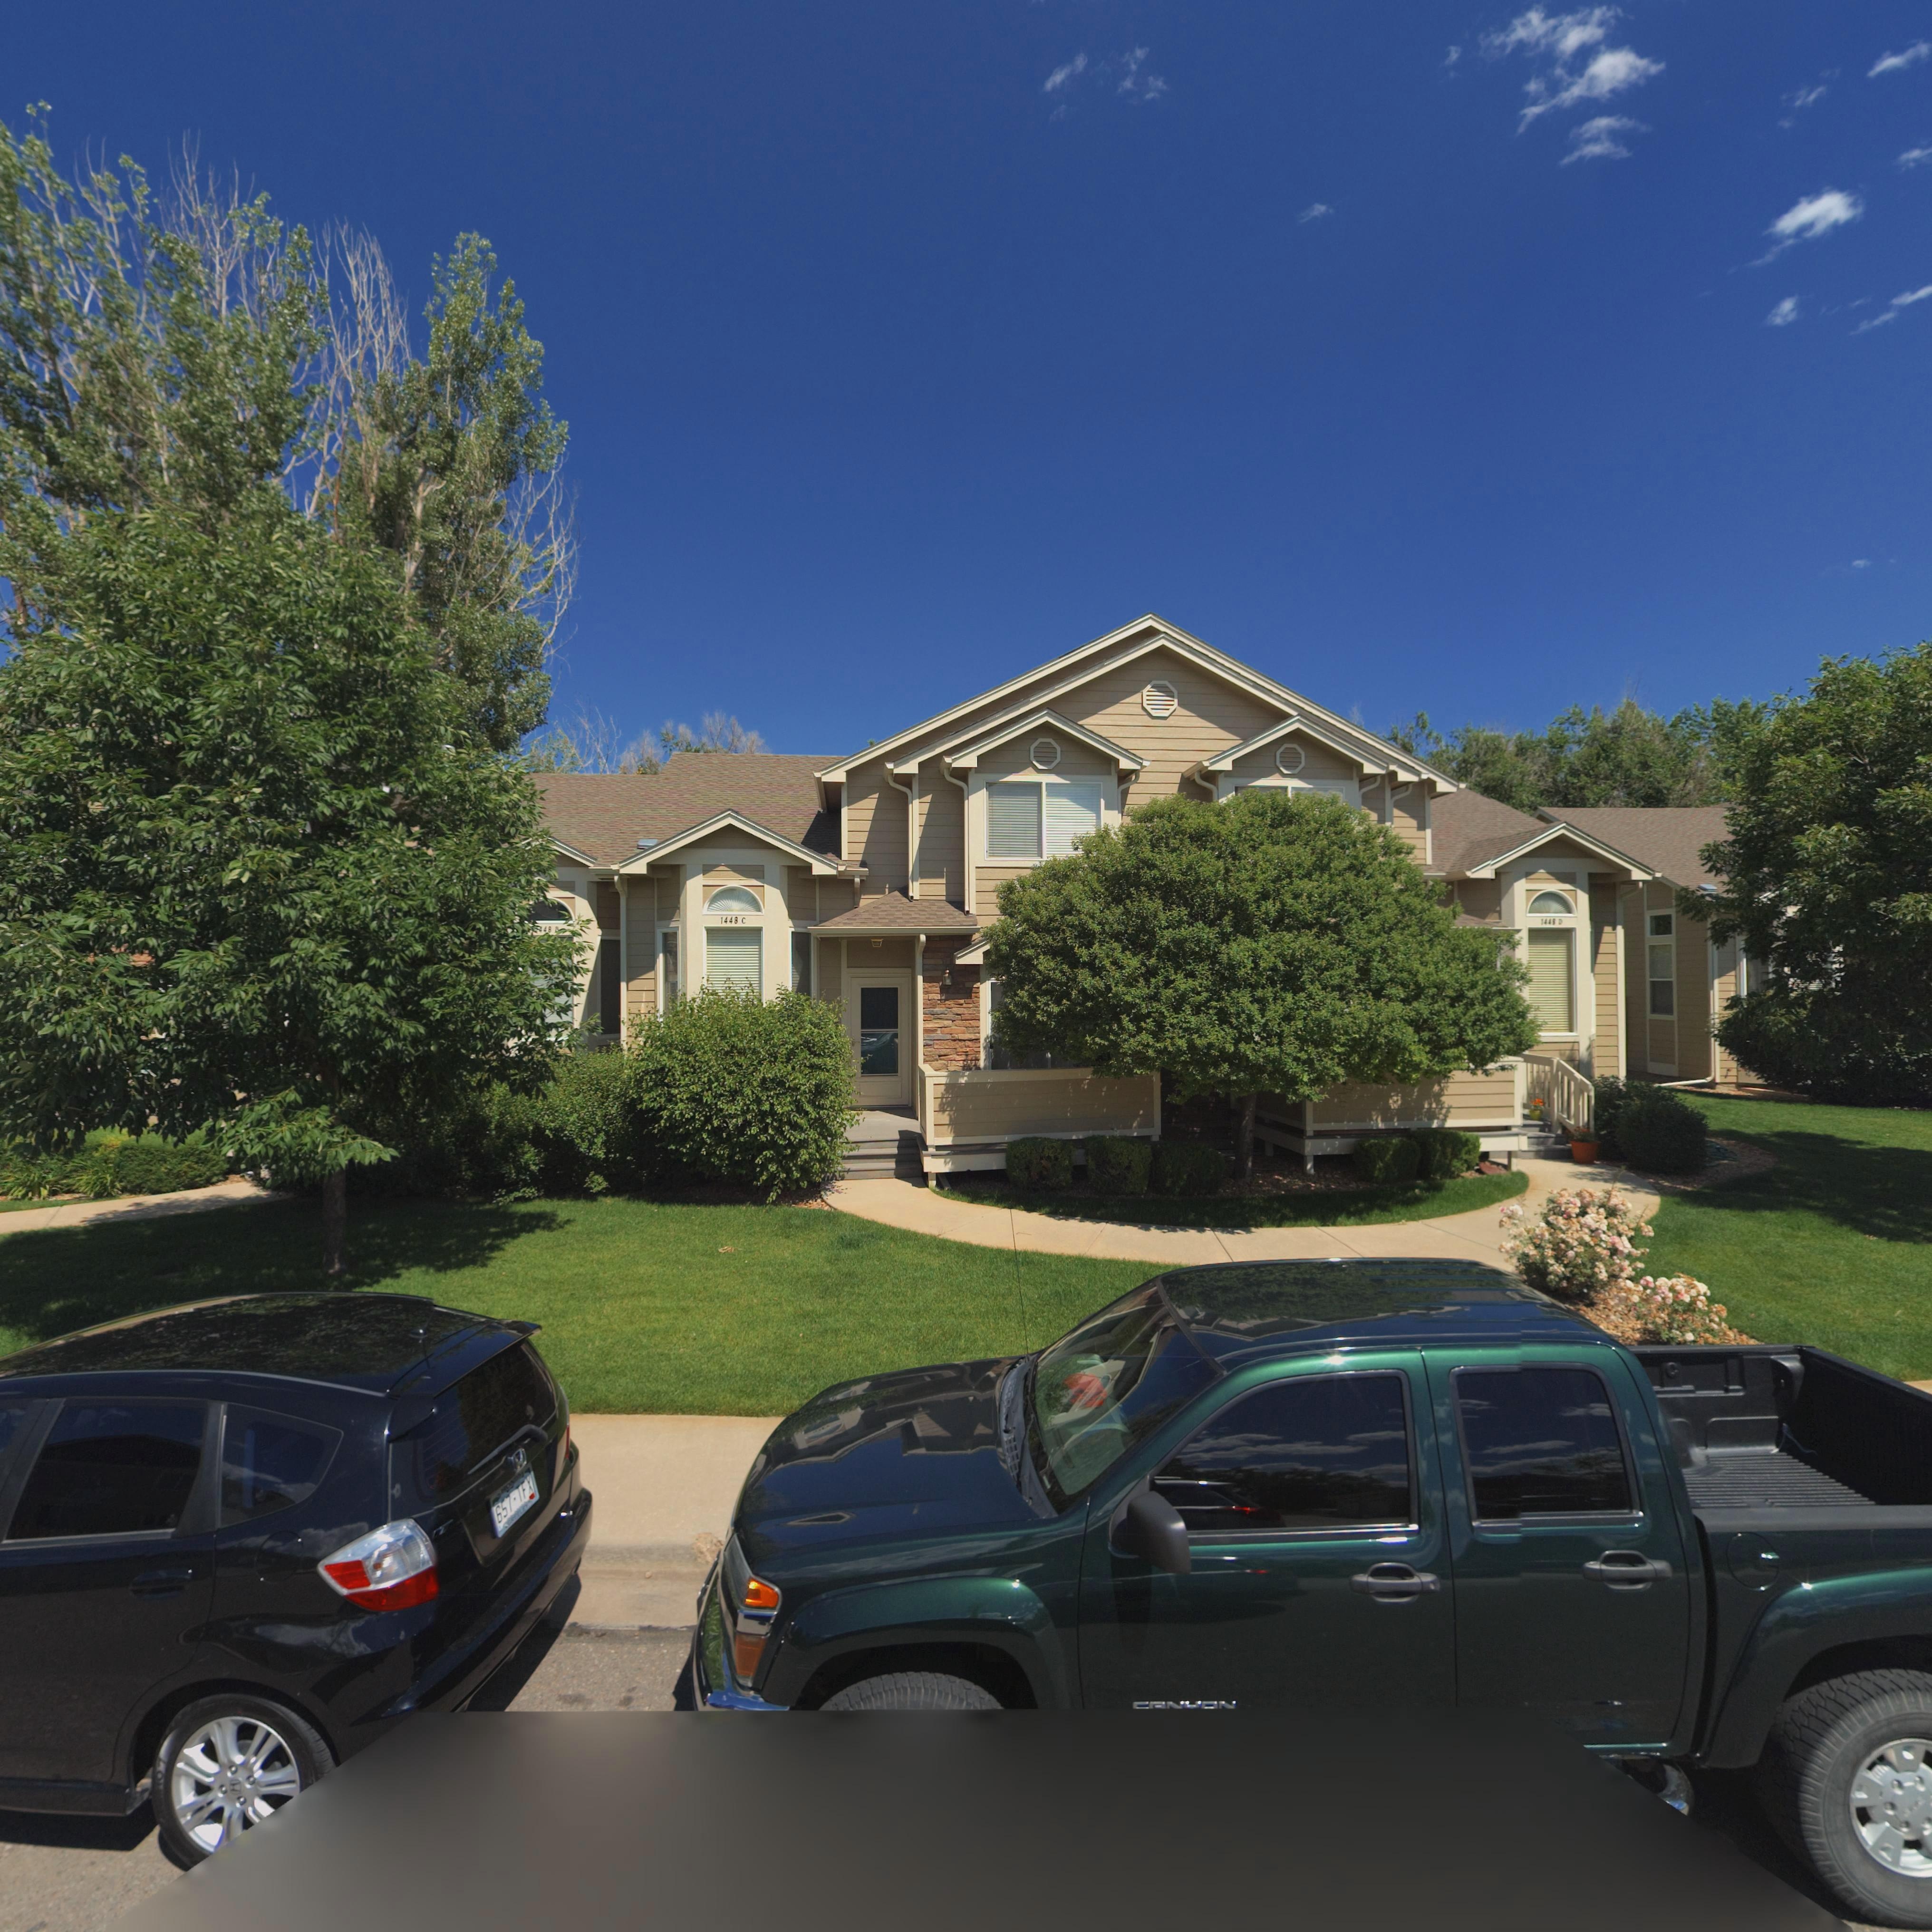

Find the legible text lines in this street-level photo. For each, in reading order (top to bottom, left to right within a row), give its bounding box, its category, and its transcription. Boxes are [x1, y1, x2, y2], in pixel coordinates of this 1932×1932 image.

[719, 916, 747, 925] StreetNumber: 1448 C
[1540, 918, 1563, 925] StreetNumber: 144* D
[537, 925, 560, 933] StreetNumber: 44